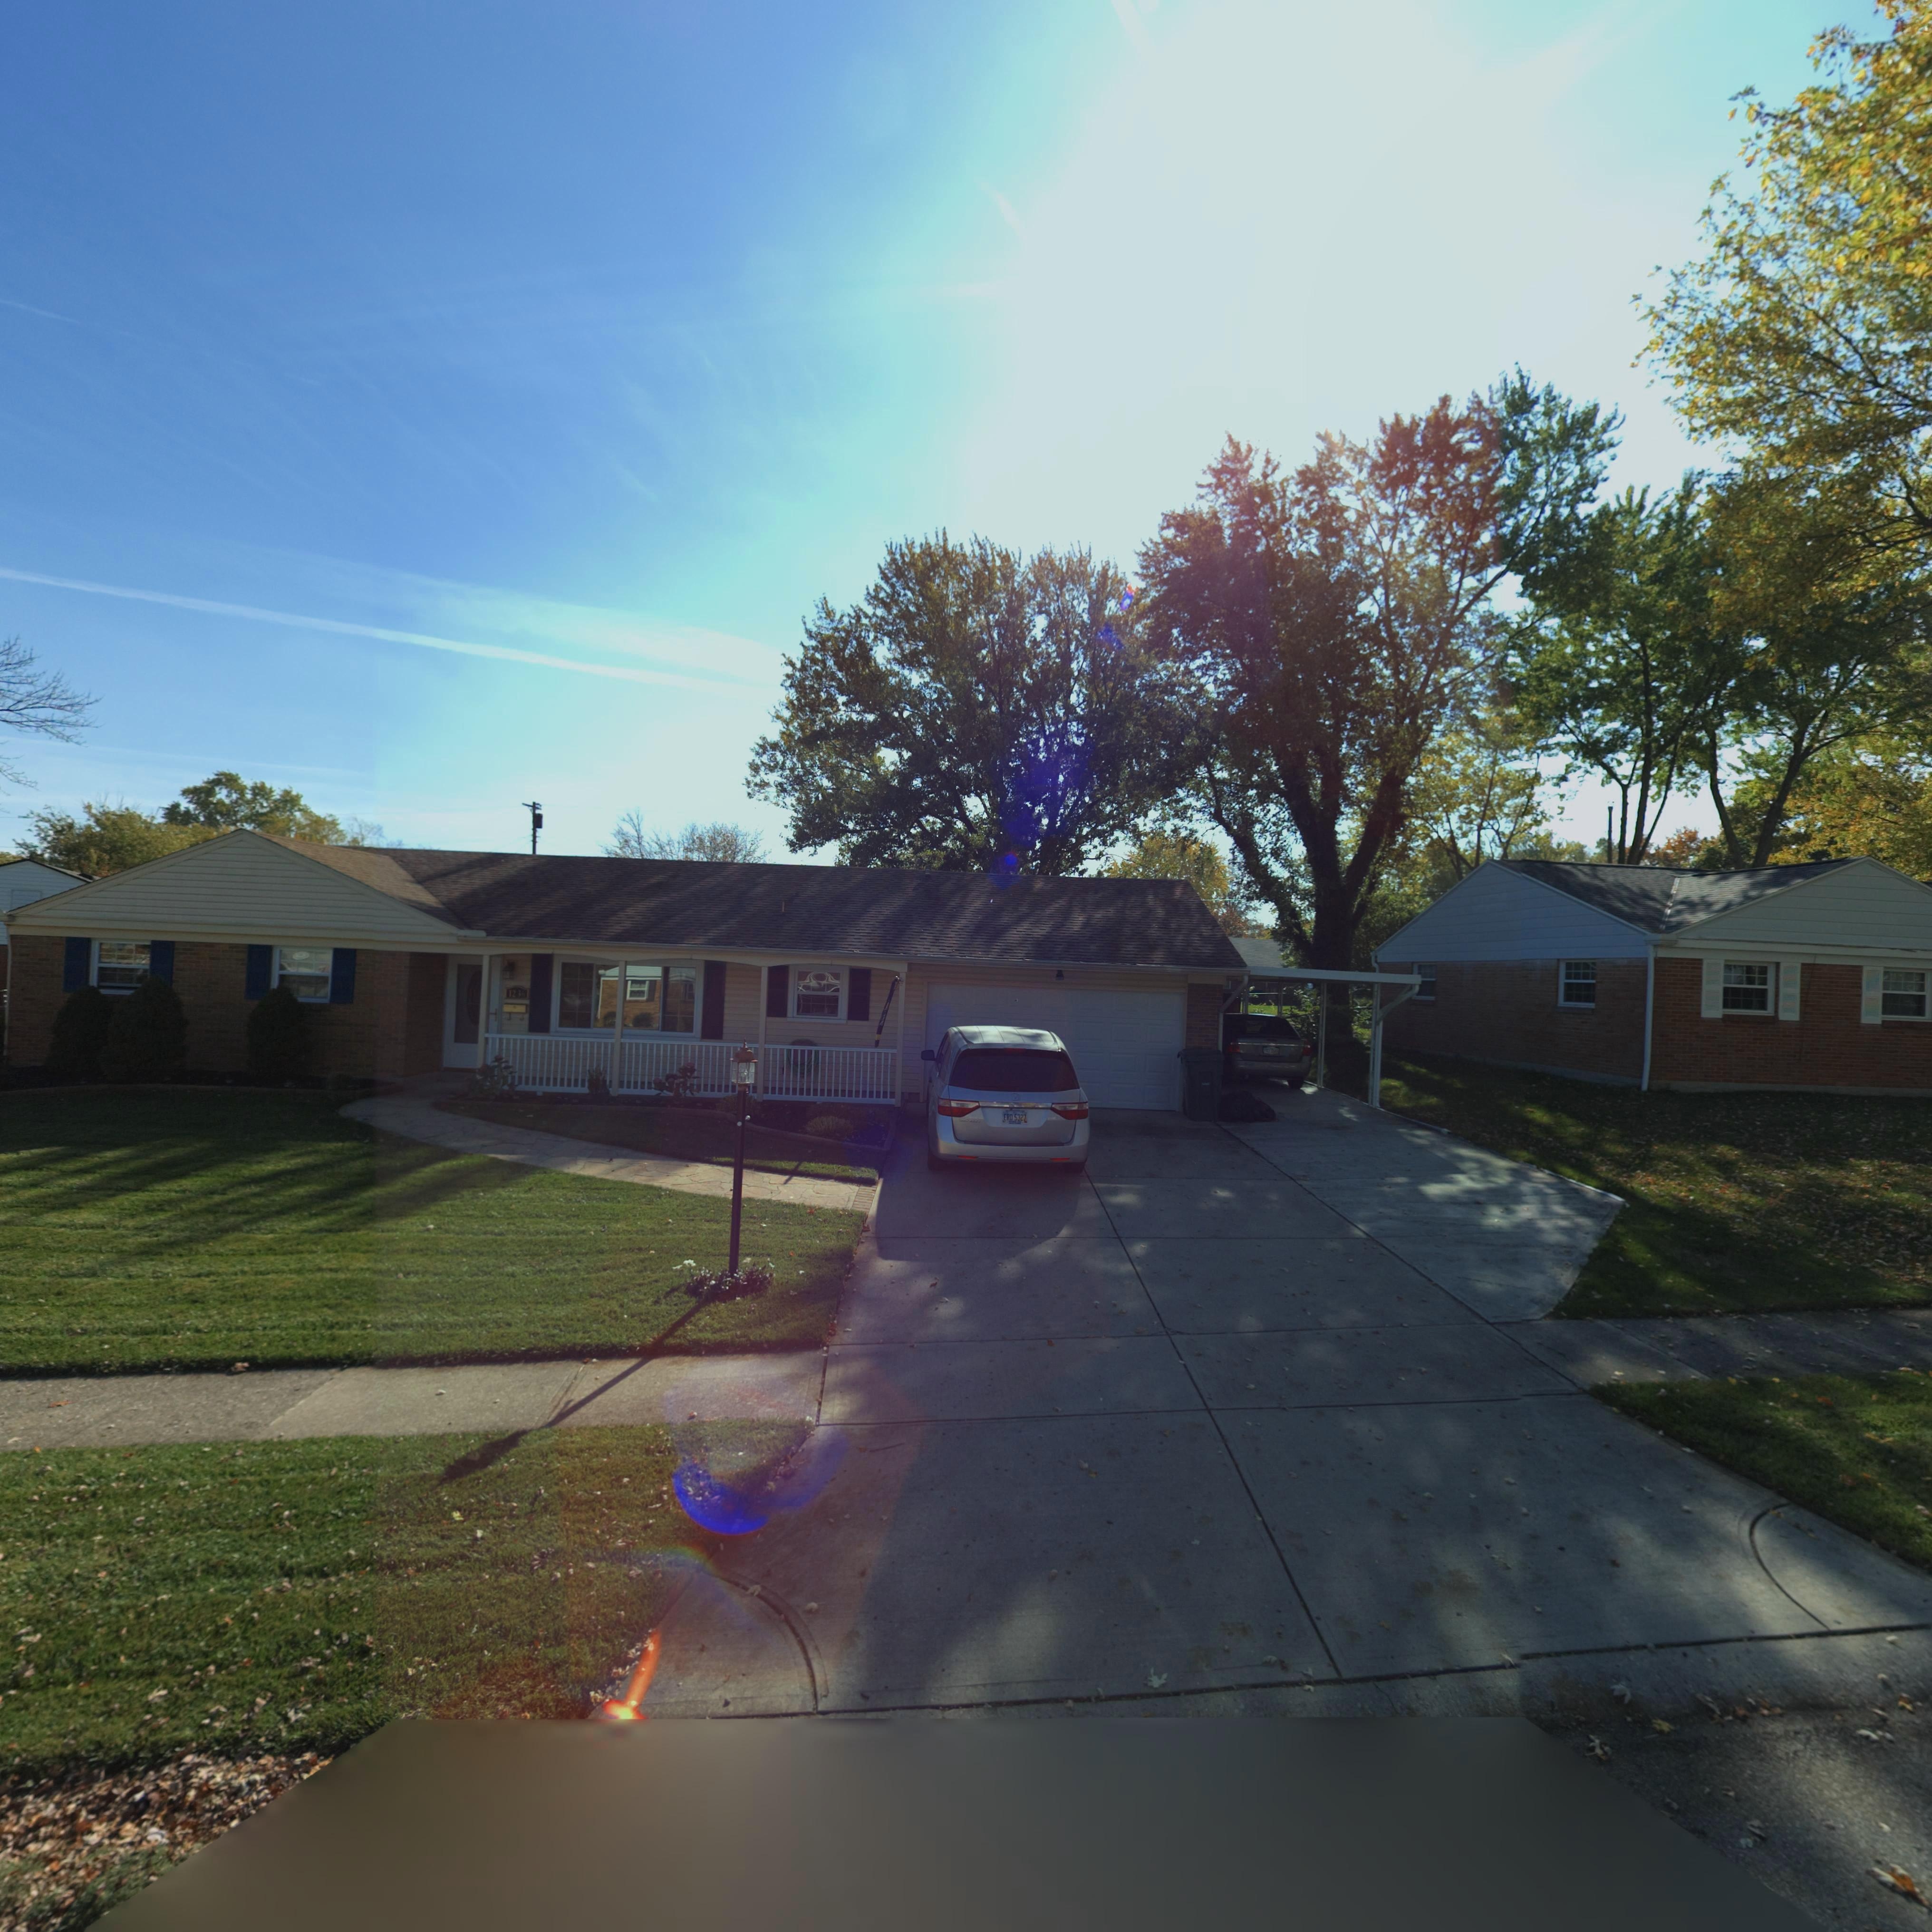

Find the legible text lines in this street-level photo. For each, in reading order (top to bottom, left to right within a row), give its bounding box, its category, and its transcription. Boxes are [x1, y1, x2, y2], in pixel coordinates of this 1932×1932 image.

[508, 989, 526, 997] StreetNumber: 1236
[1003, 1113, 1026, 1121] None: ERD 5327